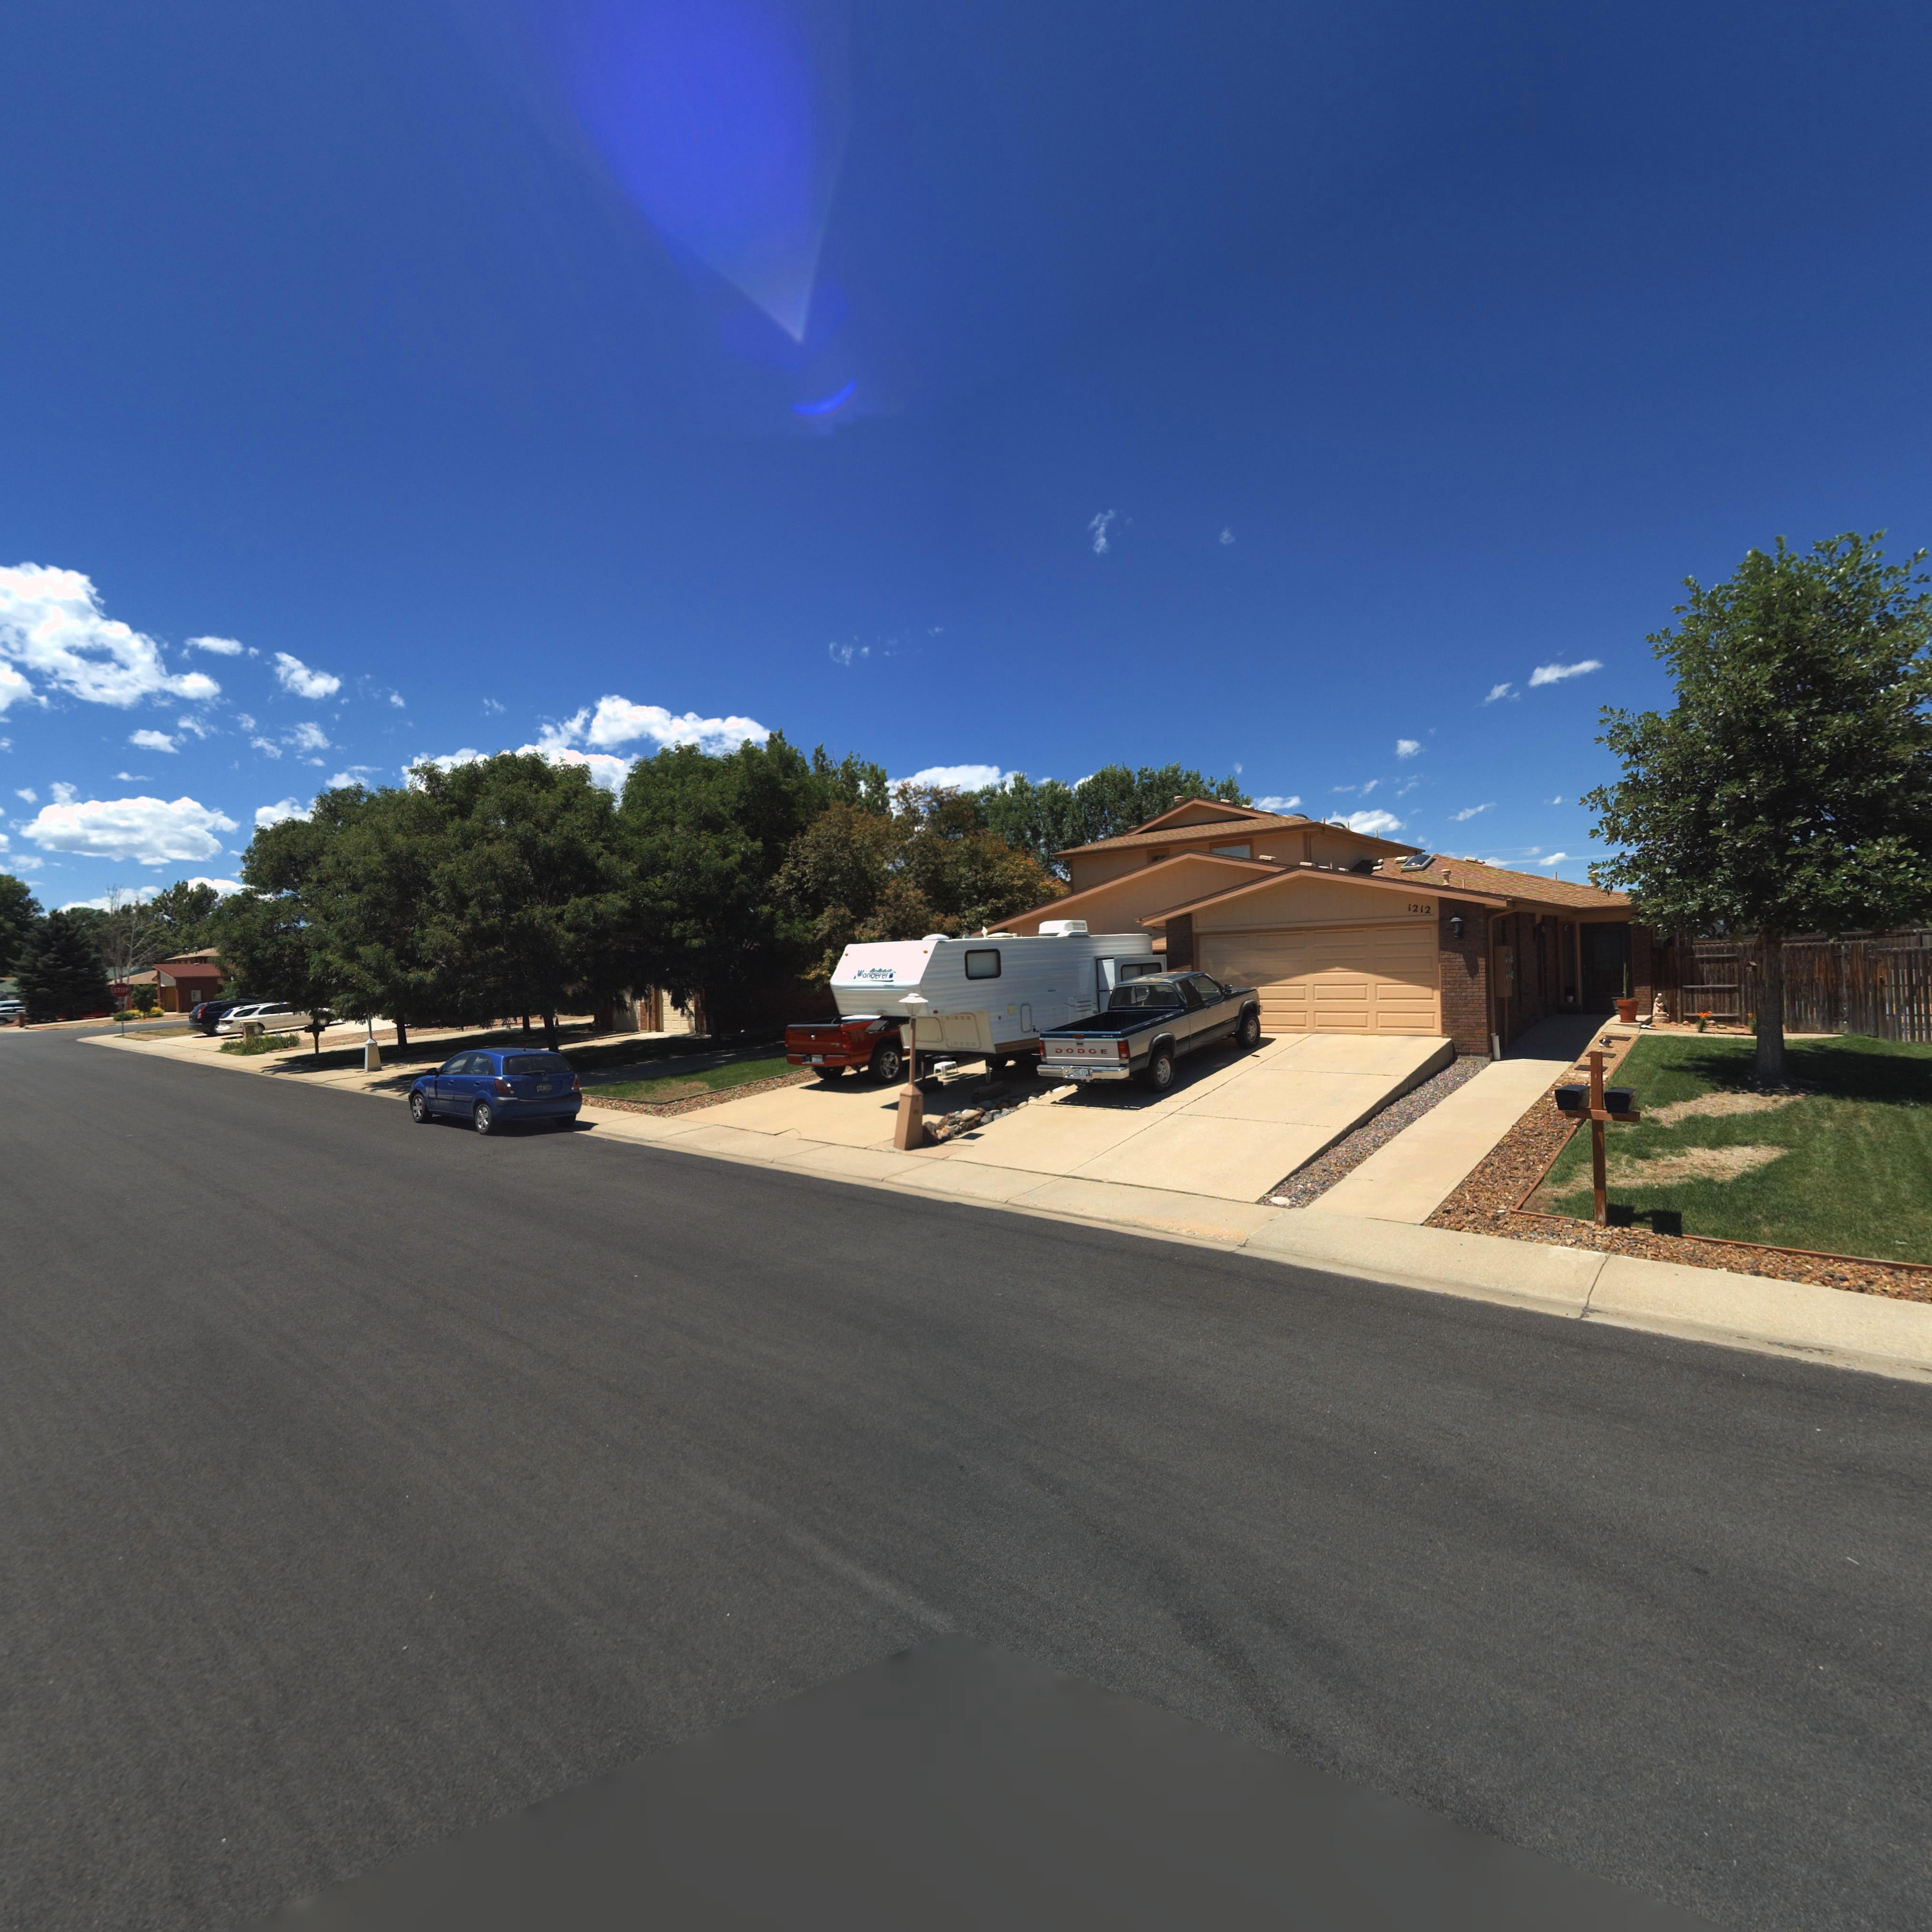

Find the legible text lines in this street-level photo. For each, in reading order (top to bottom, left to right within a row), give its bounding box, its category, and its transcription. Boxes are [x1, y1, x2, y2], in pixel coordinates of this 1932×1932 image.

[1407, 902, 1431, 915] StreetNumber: 1212